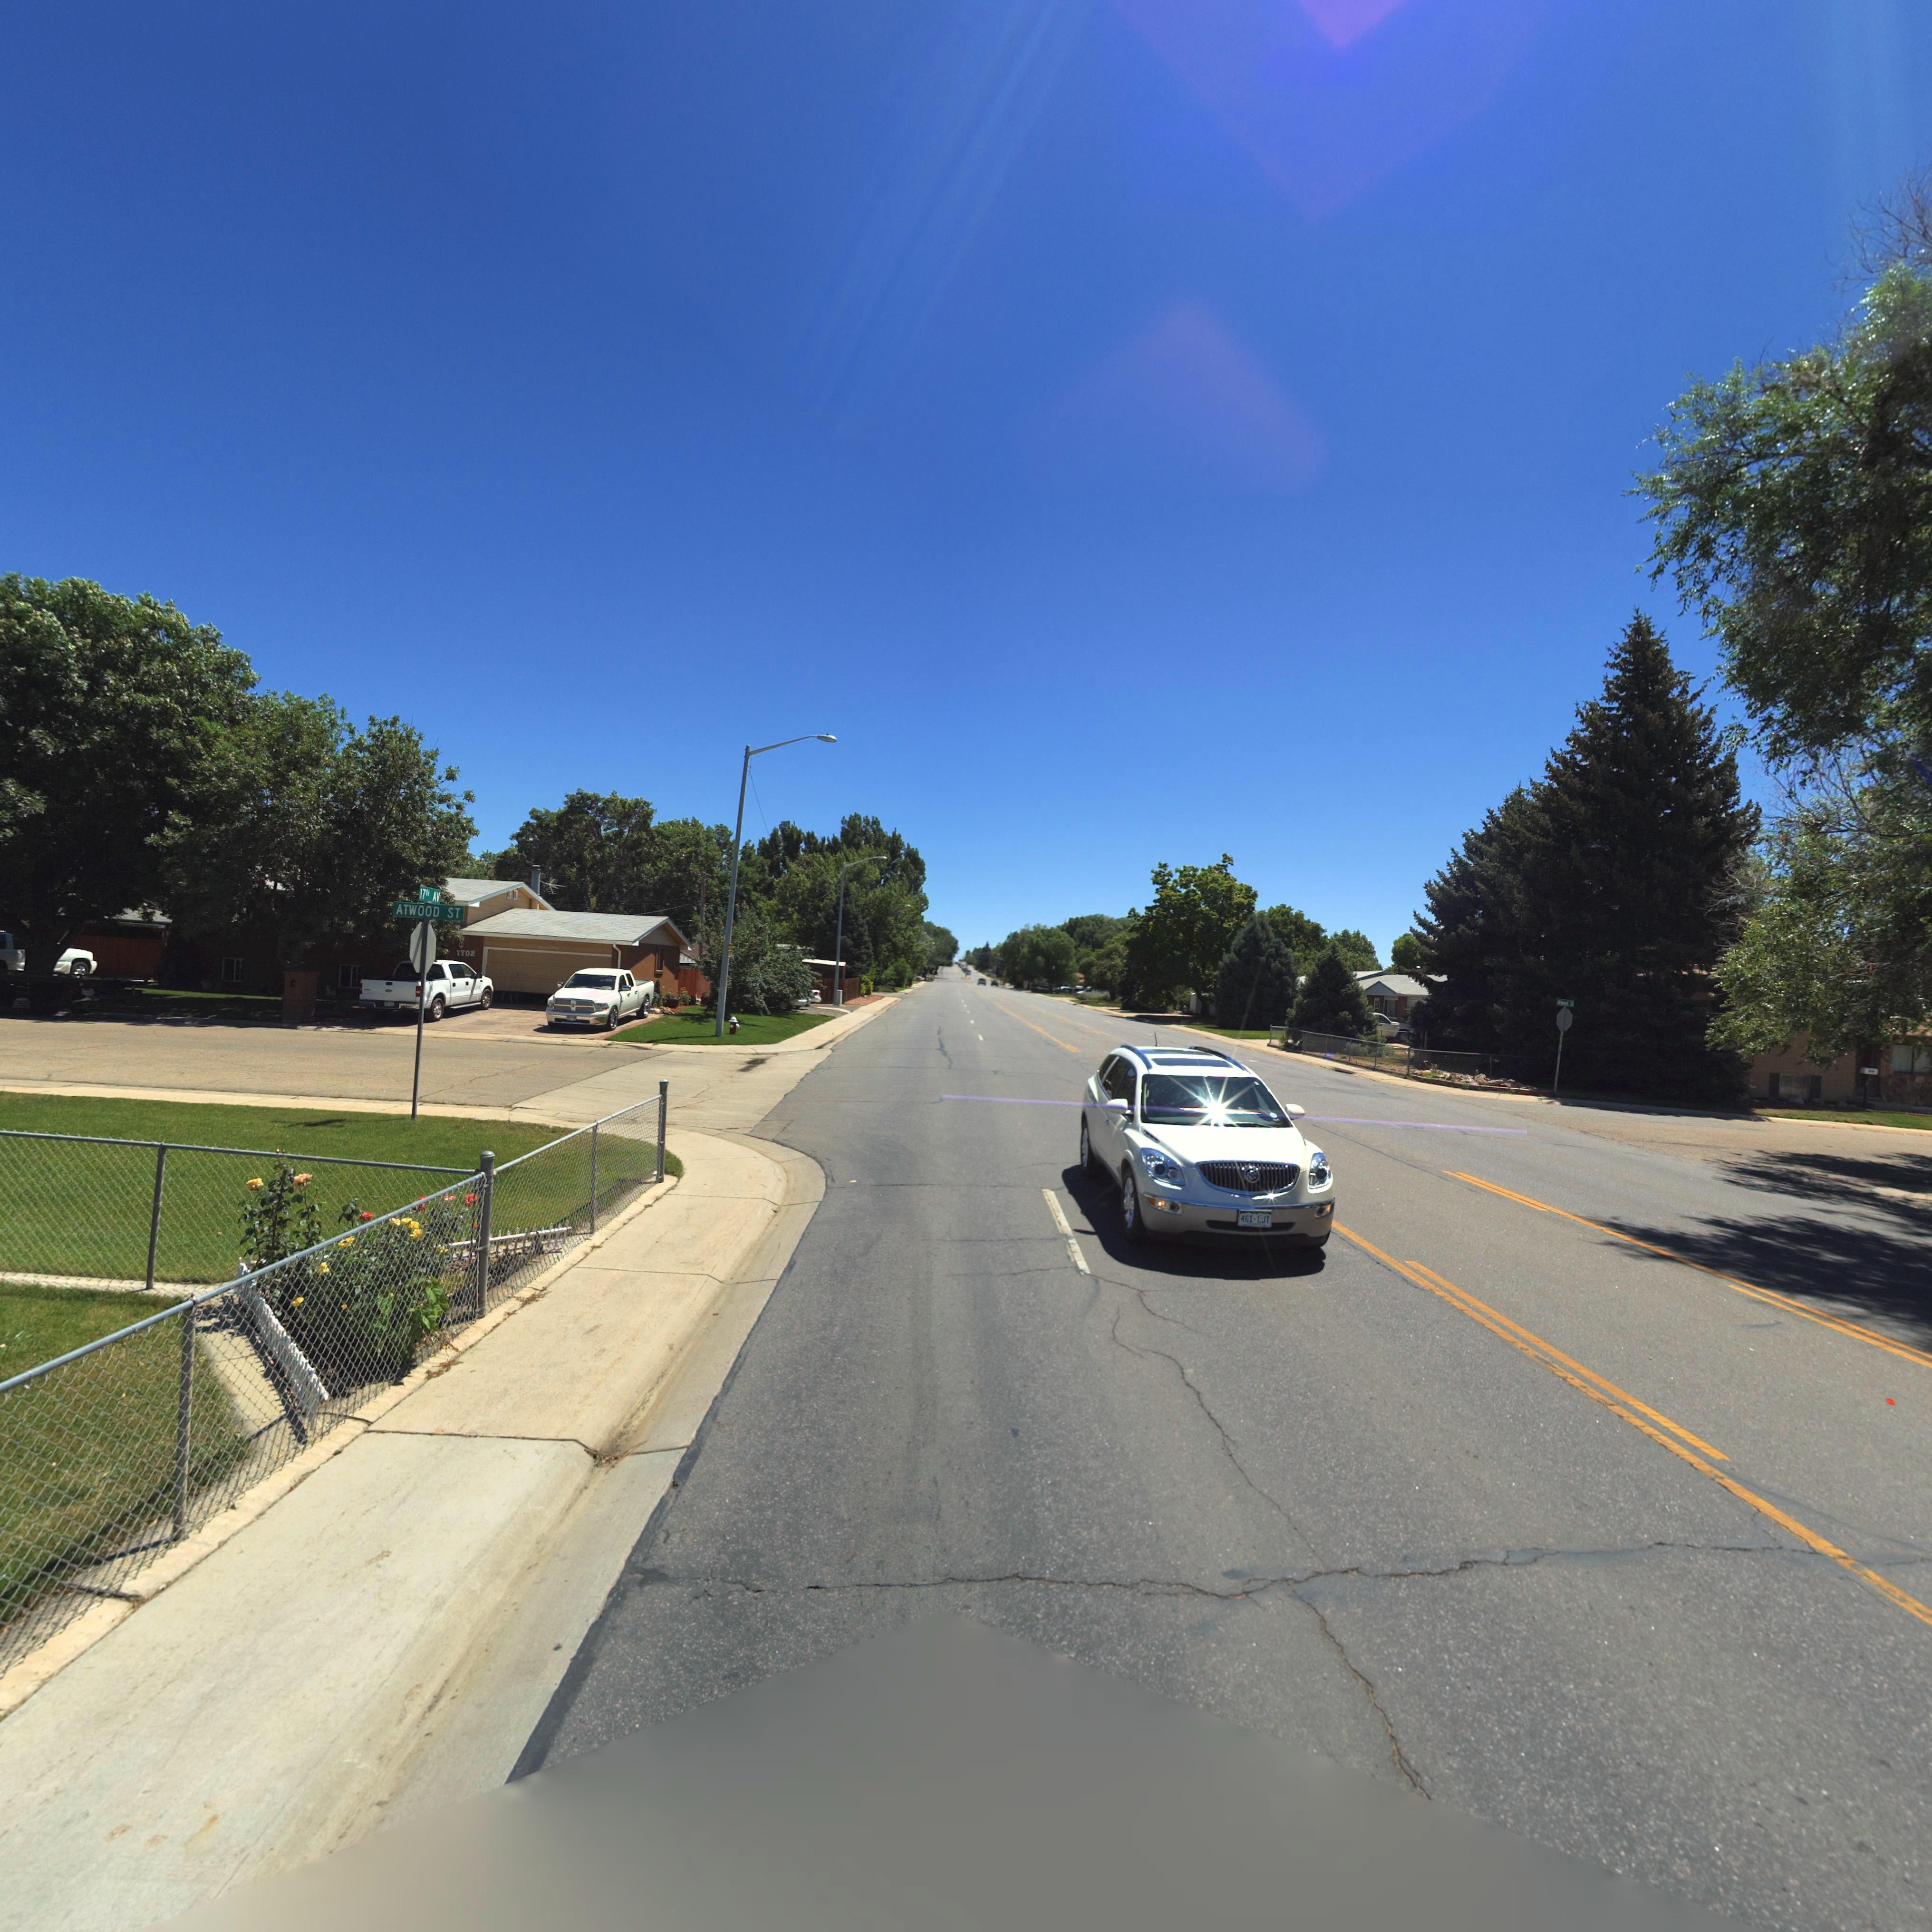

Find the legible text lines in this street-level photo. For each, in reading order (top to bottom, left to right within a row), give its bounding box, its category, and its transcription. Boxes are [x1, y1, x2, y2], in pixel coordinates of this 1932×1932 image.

[420, 888, 441, 902] StreetName: 17TH AV
[395, 903, 461, 918] StreetName: ATWOOD ST
[456, 950, 475, 956] StreetNumber: 1702